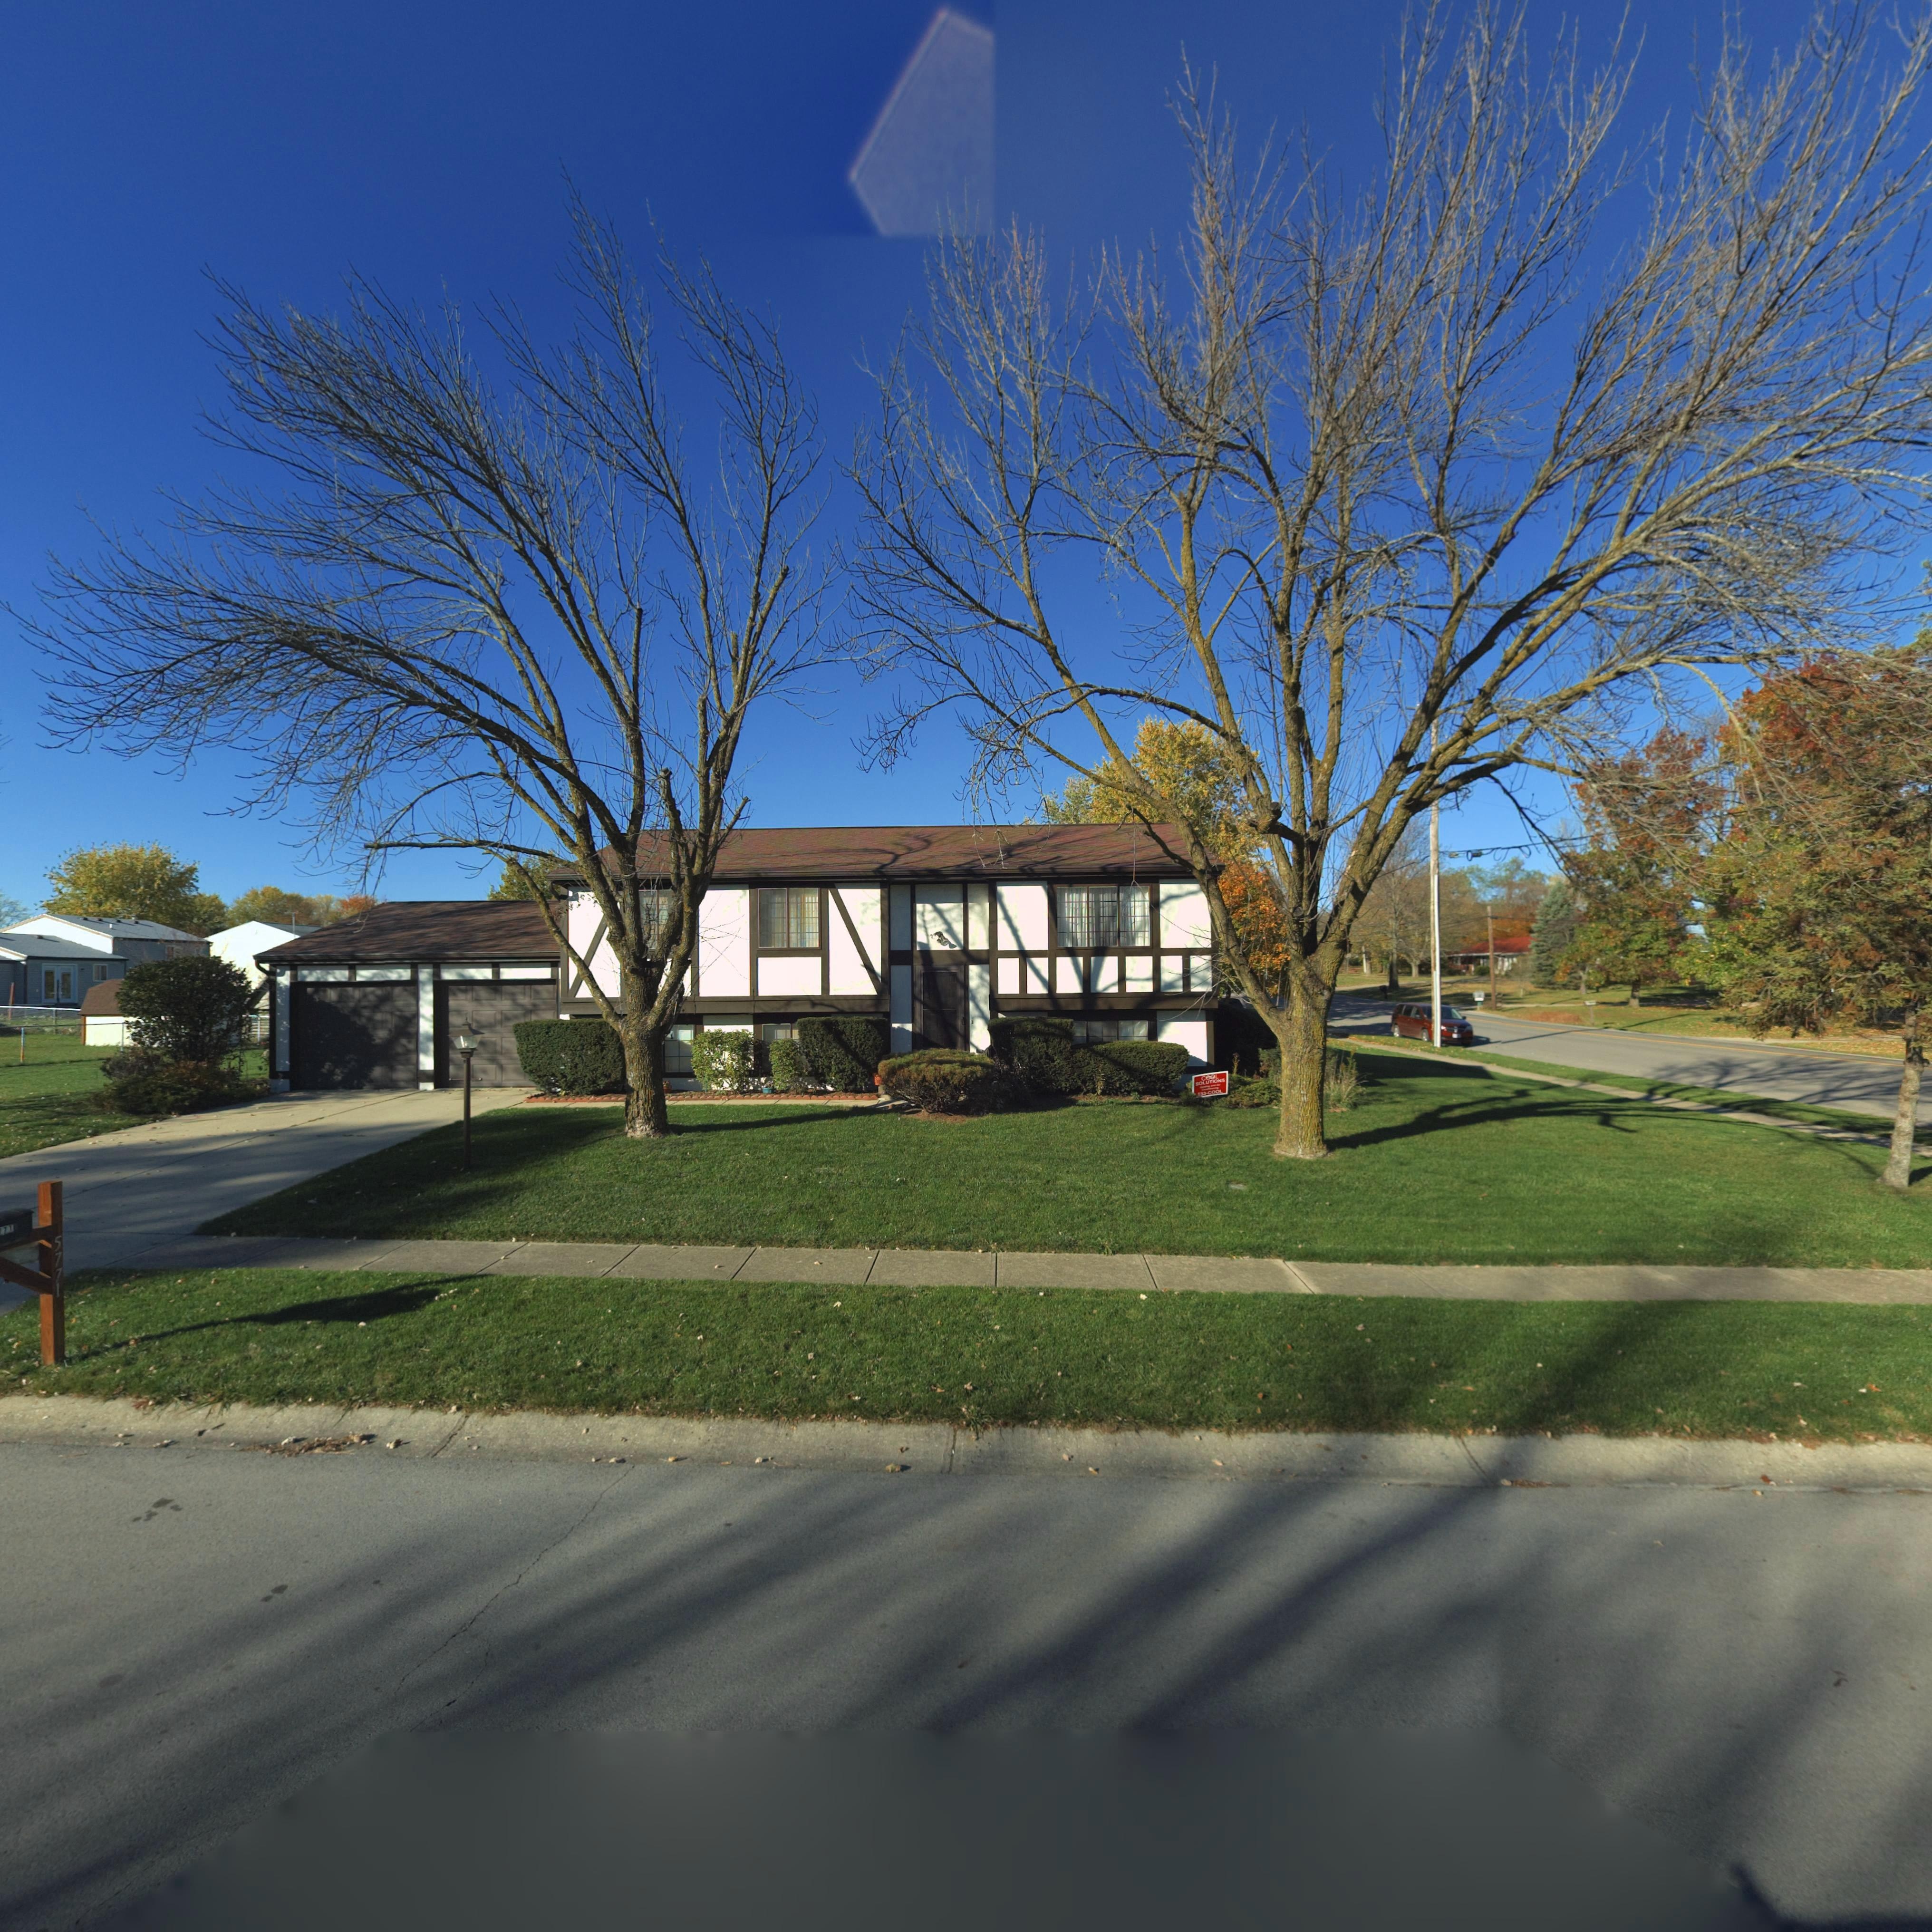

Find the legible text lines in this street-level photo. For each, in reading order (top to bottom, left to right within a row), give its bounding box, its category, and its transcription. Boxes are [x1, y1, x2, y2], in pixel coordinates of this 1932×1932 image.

[2, 1224, 13, 1236] StreetNumber: 7*
[53, 1233, 64, 1300] StreetNumber: 5771